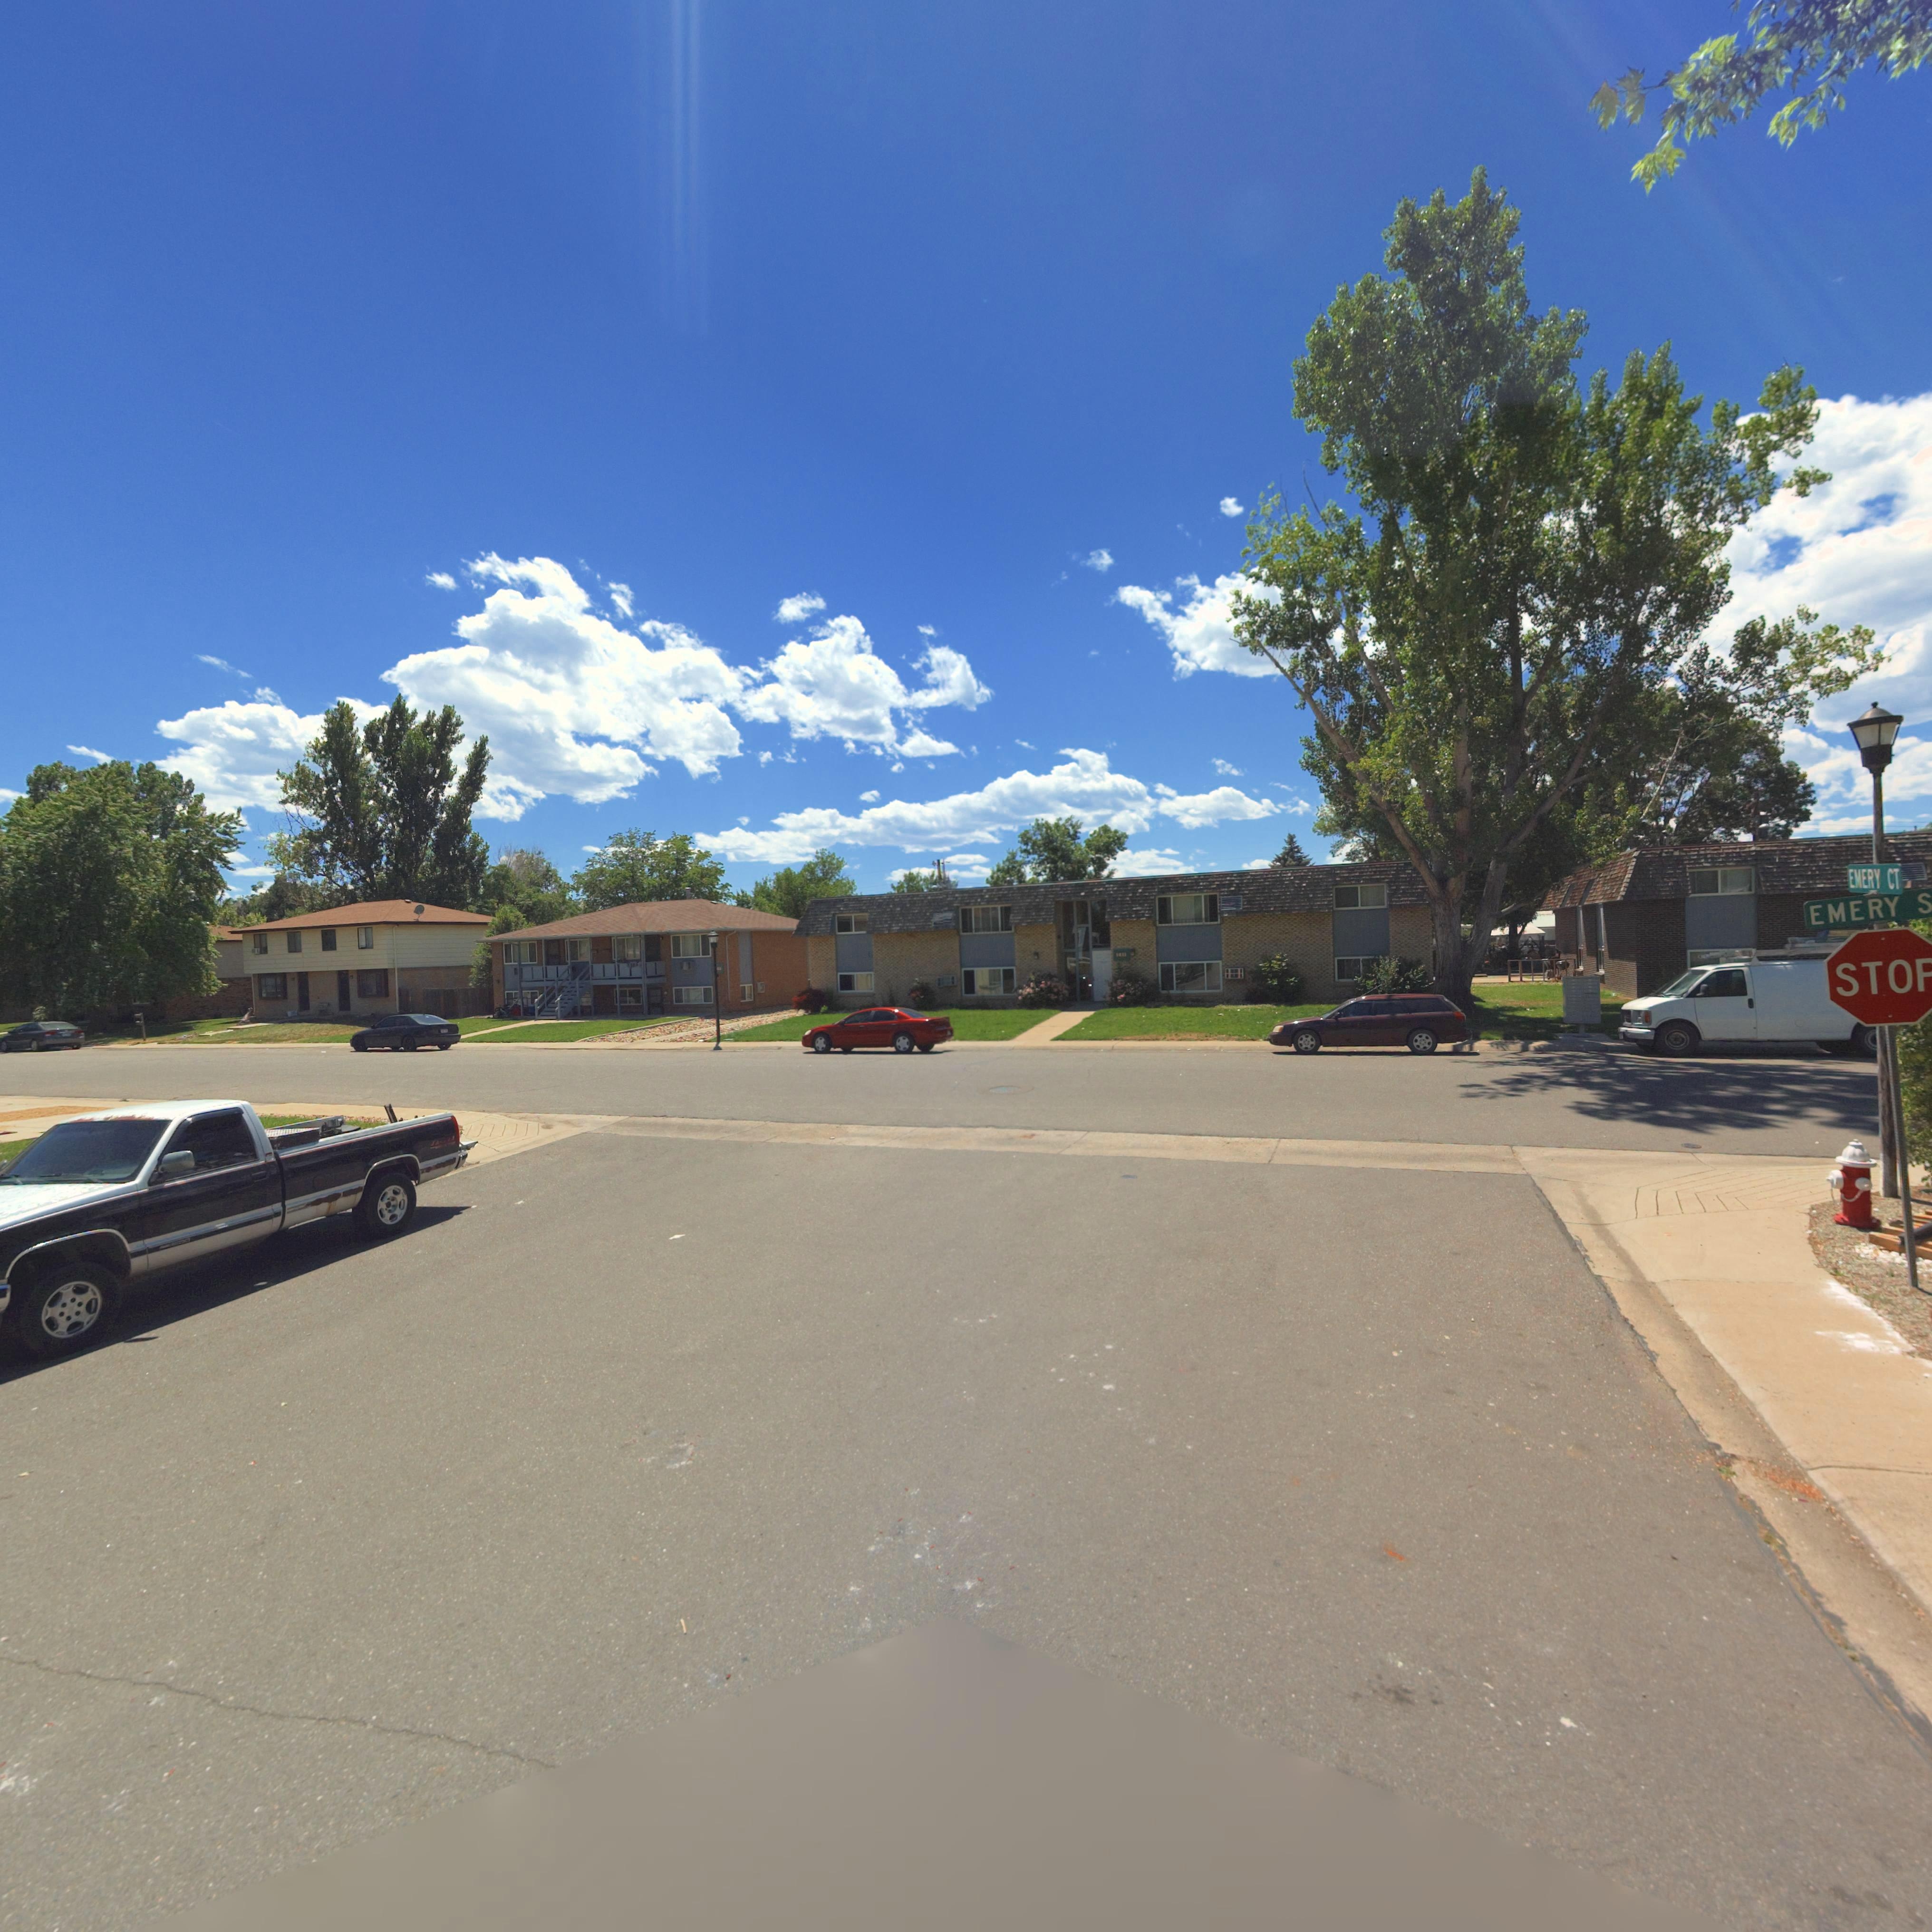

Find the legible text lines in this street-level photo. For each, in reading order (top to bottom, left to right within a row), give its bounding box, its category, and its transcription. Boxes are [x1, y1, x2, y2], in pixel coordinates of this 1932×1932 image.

[1848, 868, 1900, 890] StreetName: EMERY CT
[1808, 895, 1900, 926] StreetName: EMERY
[1116, 952, 1127, 957] StreetNumber: 1411
[715, 966, 721, 971] StreetNumber: 03